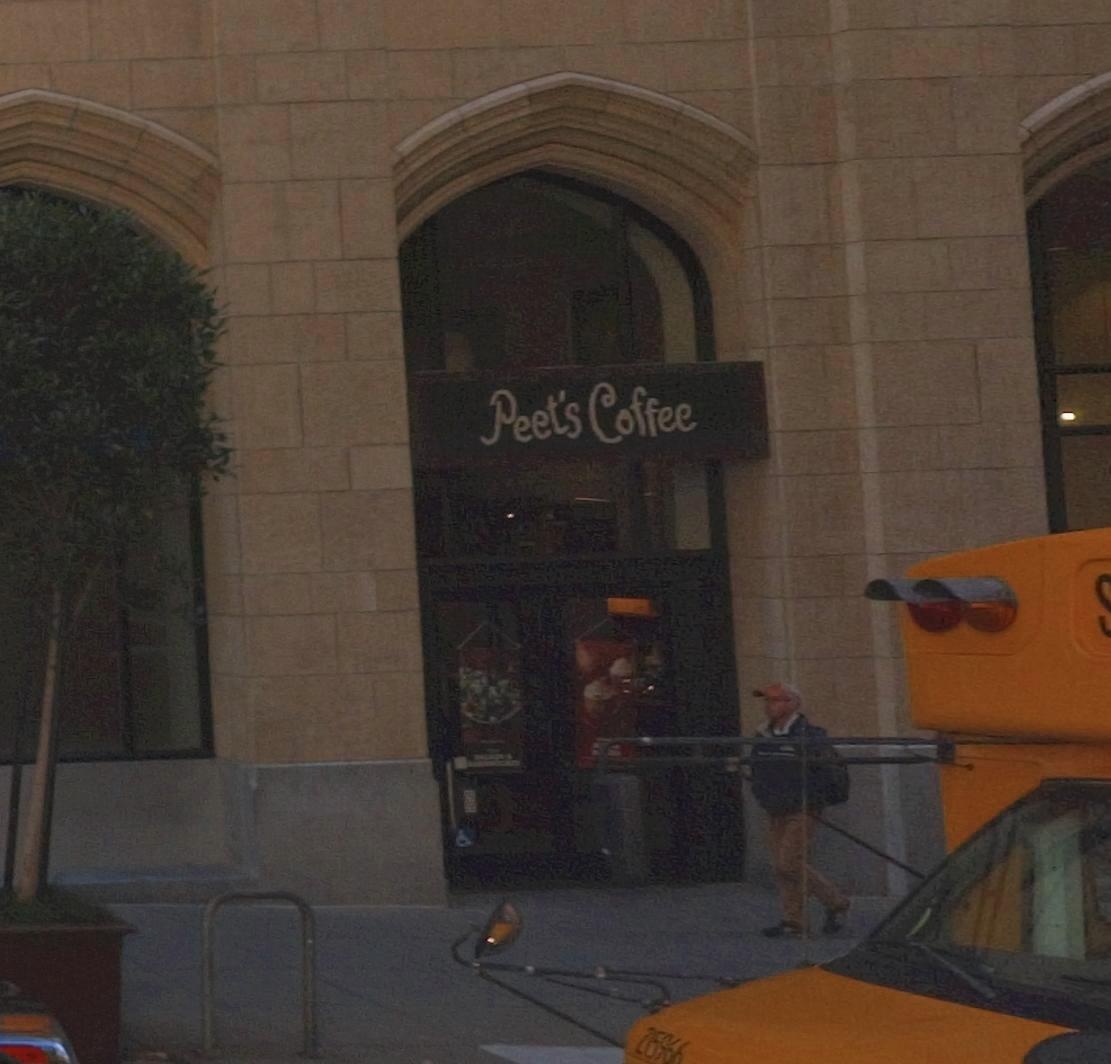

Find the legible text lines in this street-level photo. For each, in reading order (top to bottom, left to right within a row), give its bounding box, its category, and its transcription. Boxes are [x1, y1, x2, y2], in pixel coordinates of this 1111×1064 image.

[476, 381, 702, 447] BusinessName: Peet's Coffee
[514, 517, 569, 549] StreetNumber: 217
[631, 1025, 683, 1064] None: 2*96